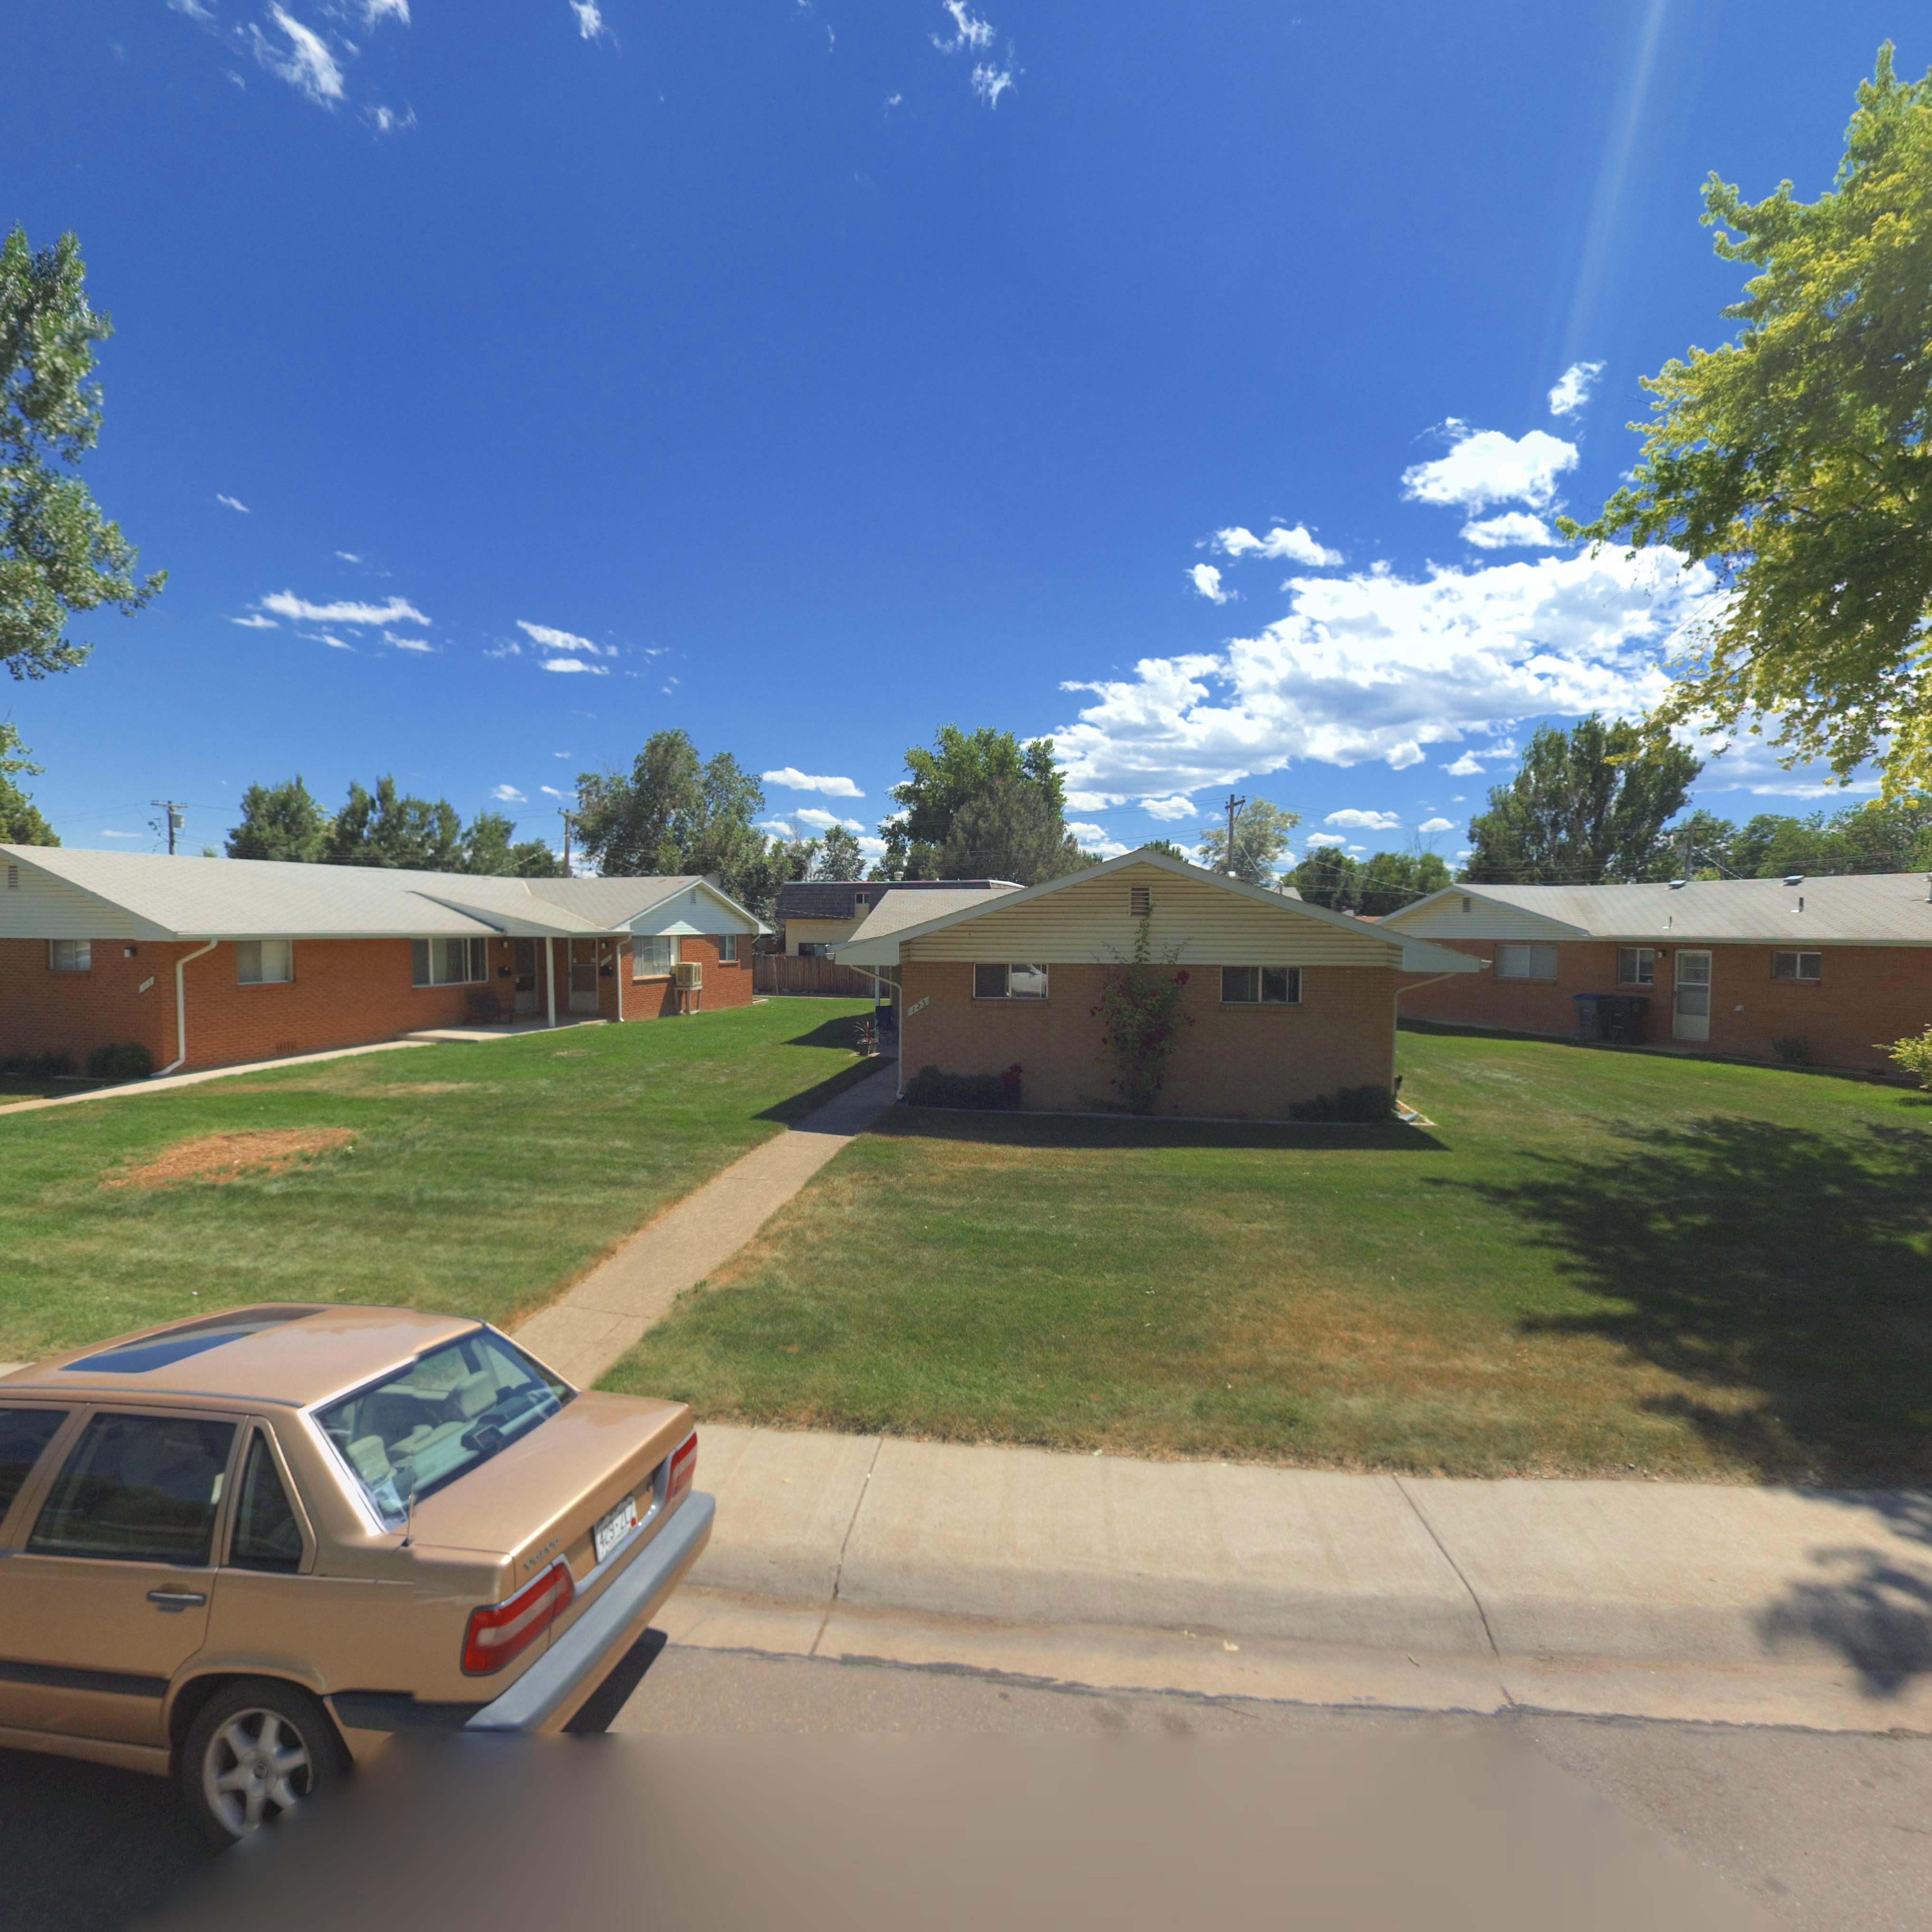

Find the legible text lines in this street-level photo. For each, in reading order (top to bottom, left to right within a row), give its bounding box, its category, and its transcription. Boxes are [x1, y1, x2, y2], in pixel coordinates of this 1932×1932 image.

[912, 1000, 926, 1013] StreetNumber: 123